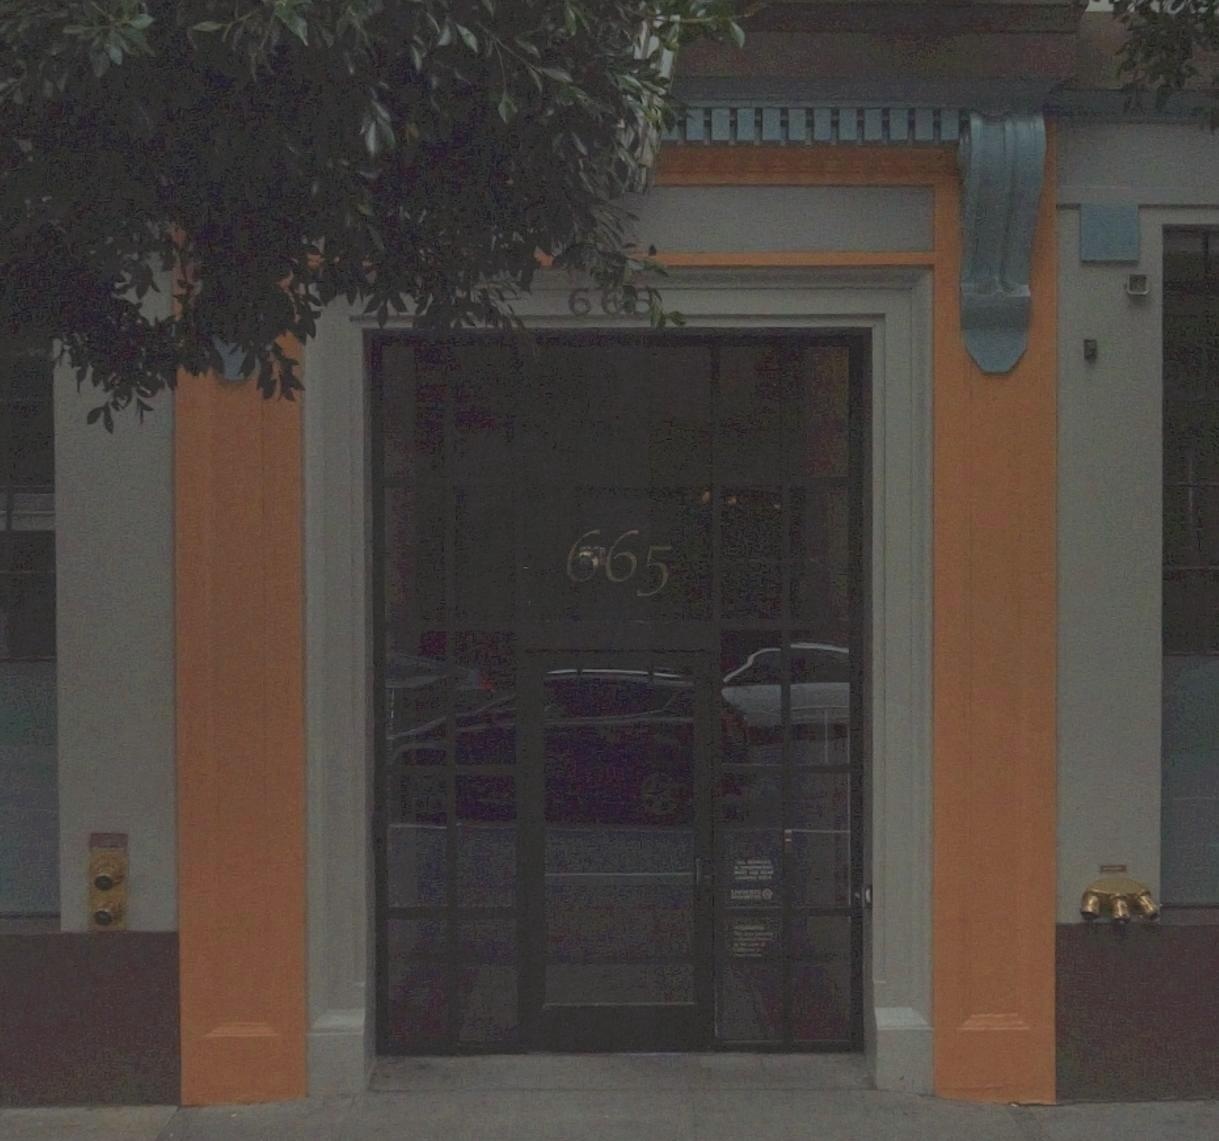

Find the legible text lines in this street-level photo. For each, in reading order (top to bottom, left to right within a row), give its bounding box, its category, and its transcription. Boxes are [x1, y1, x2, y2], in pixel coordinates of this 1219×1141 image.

[563, 283, 594, 318] StreetNumber: 6
[563, 526, 675, 600] StreetNumber: 665